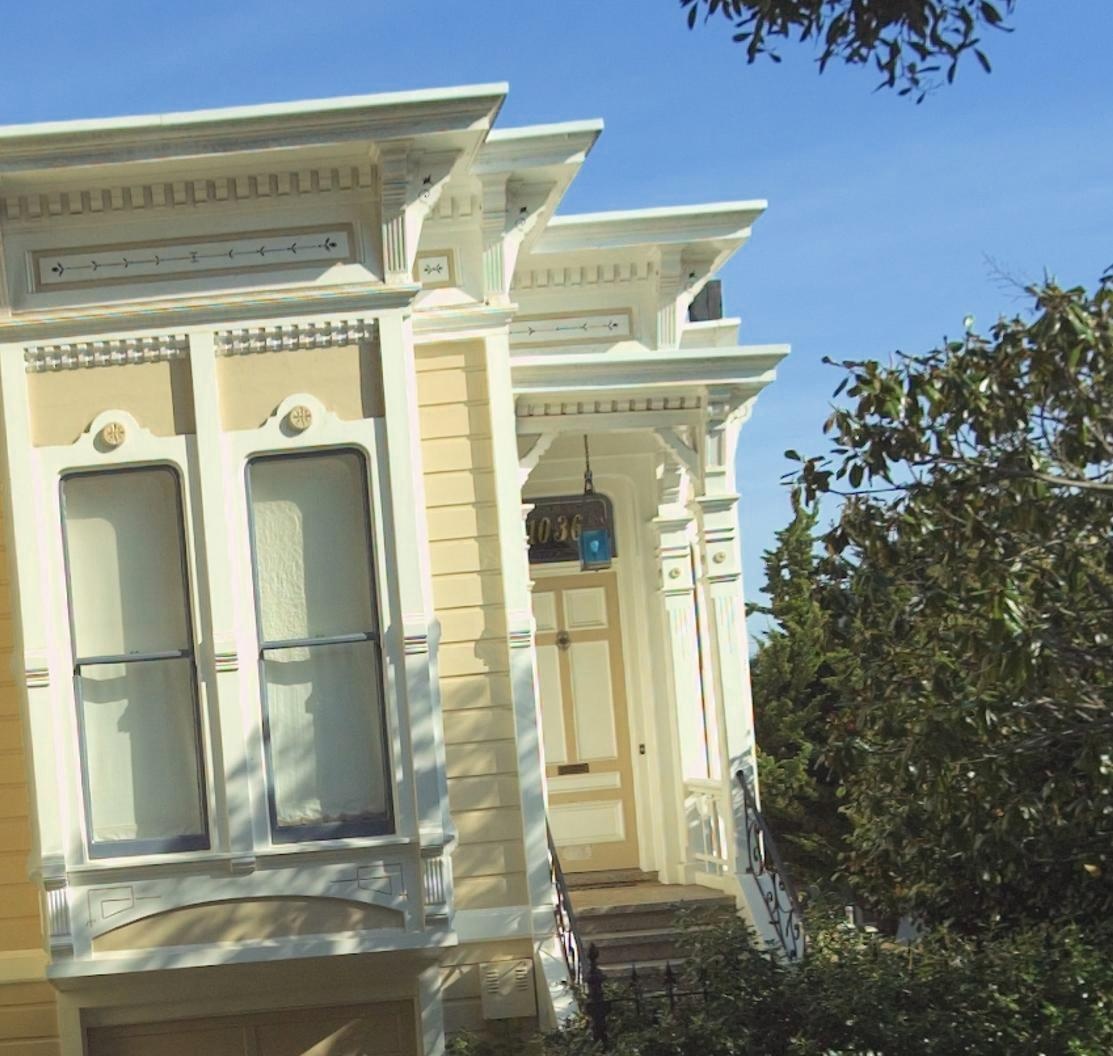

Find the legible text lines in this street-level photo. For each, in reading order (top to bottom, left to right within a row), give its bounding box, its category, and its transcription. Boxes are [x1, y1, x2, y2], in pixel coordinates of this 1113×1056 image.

[525, 513, 586, 547] StreetNumber: 1036